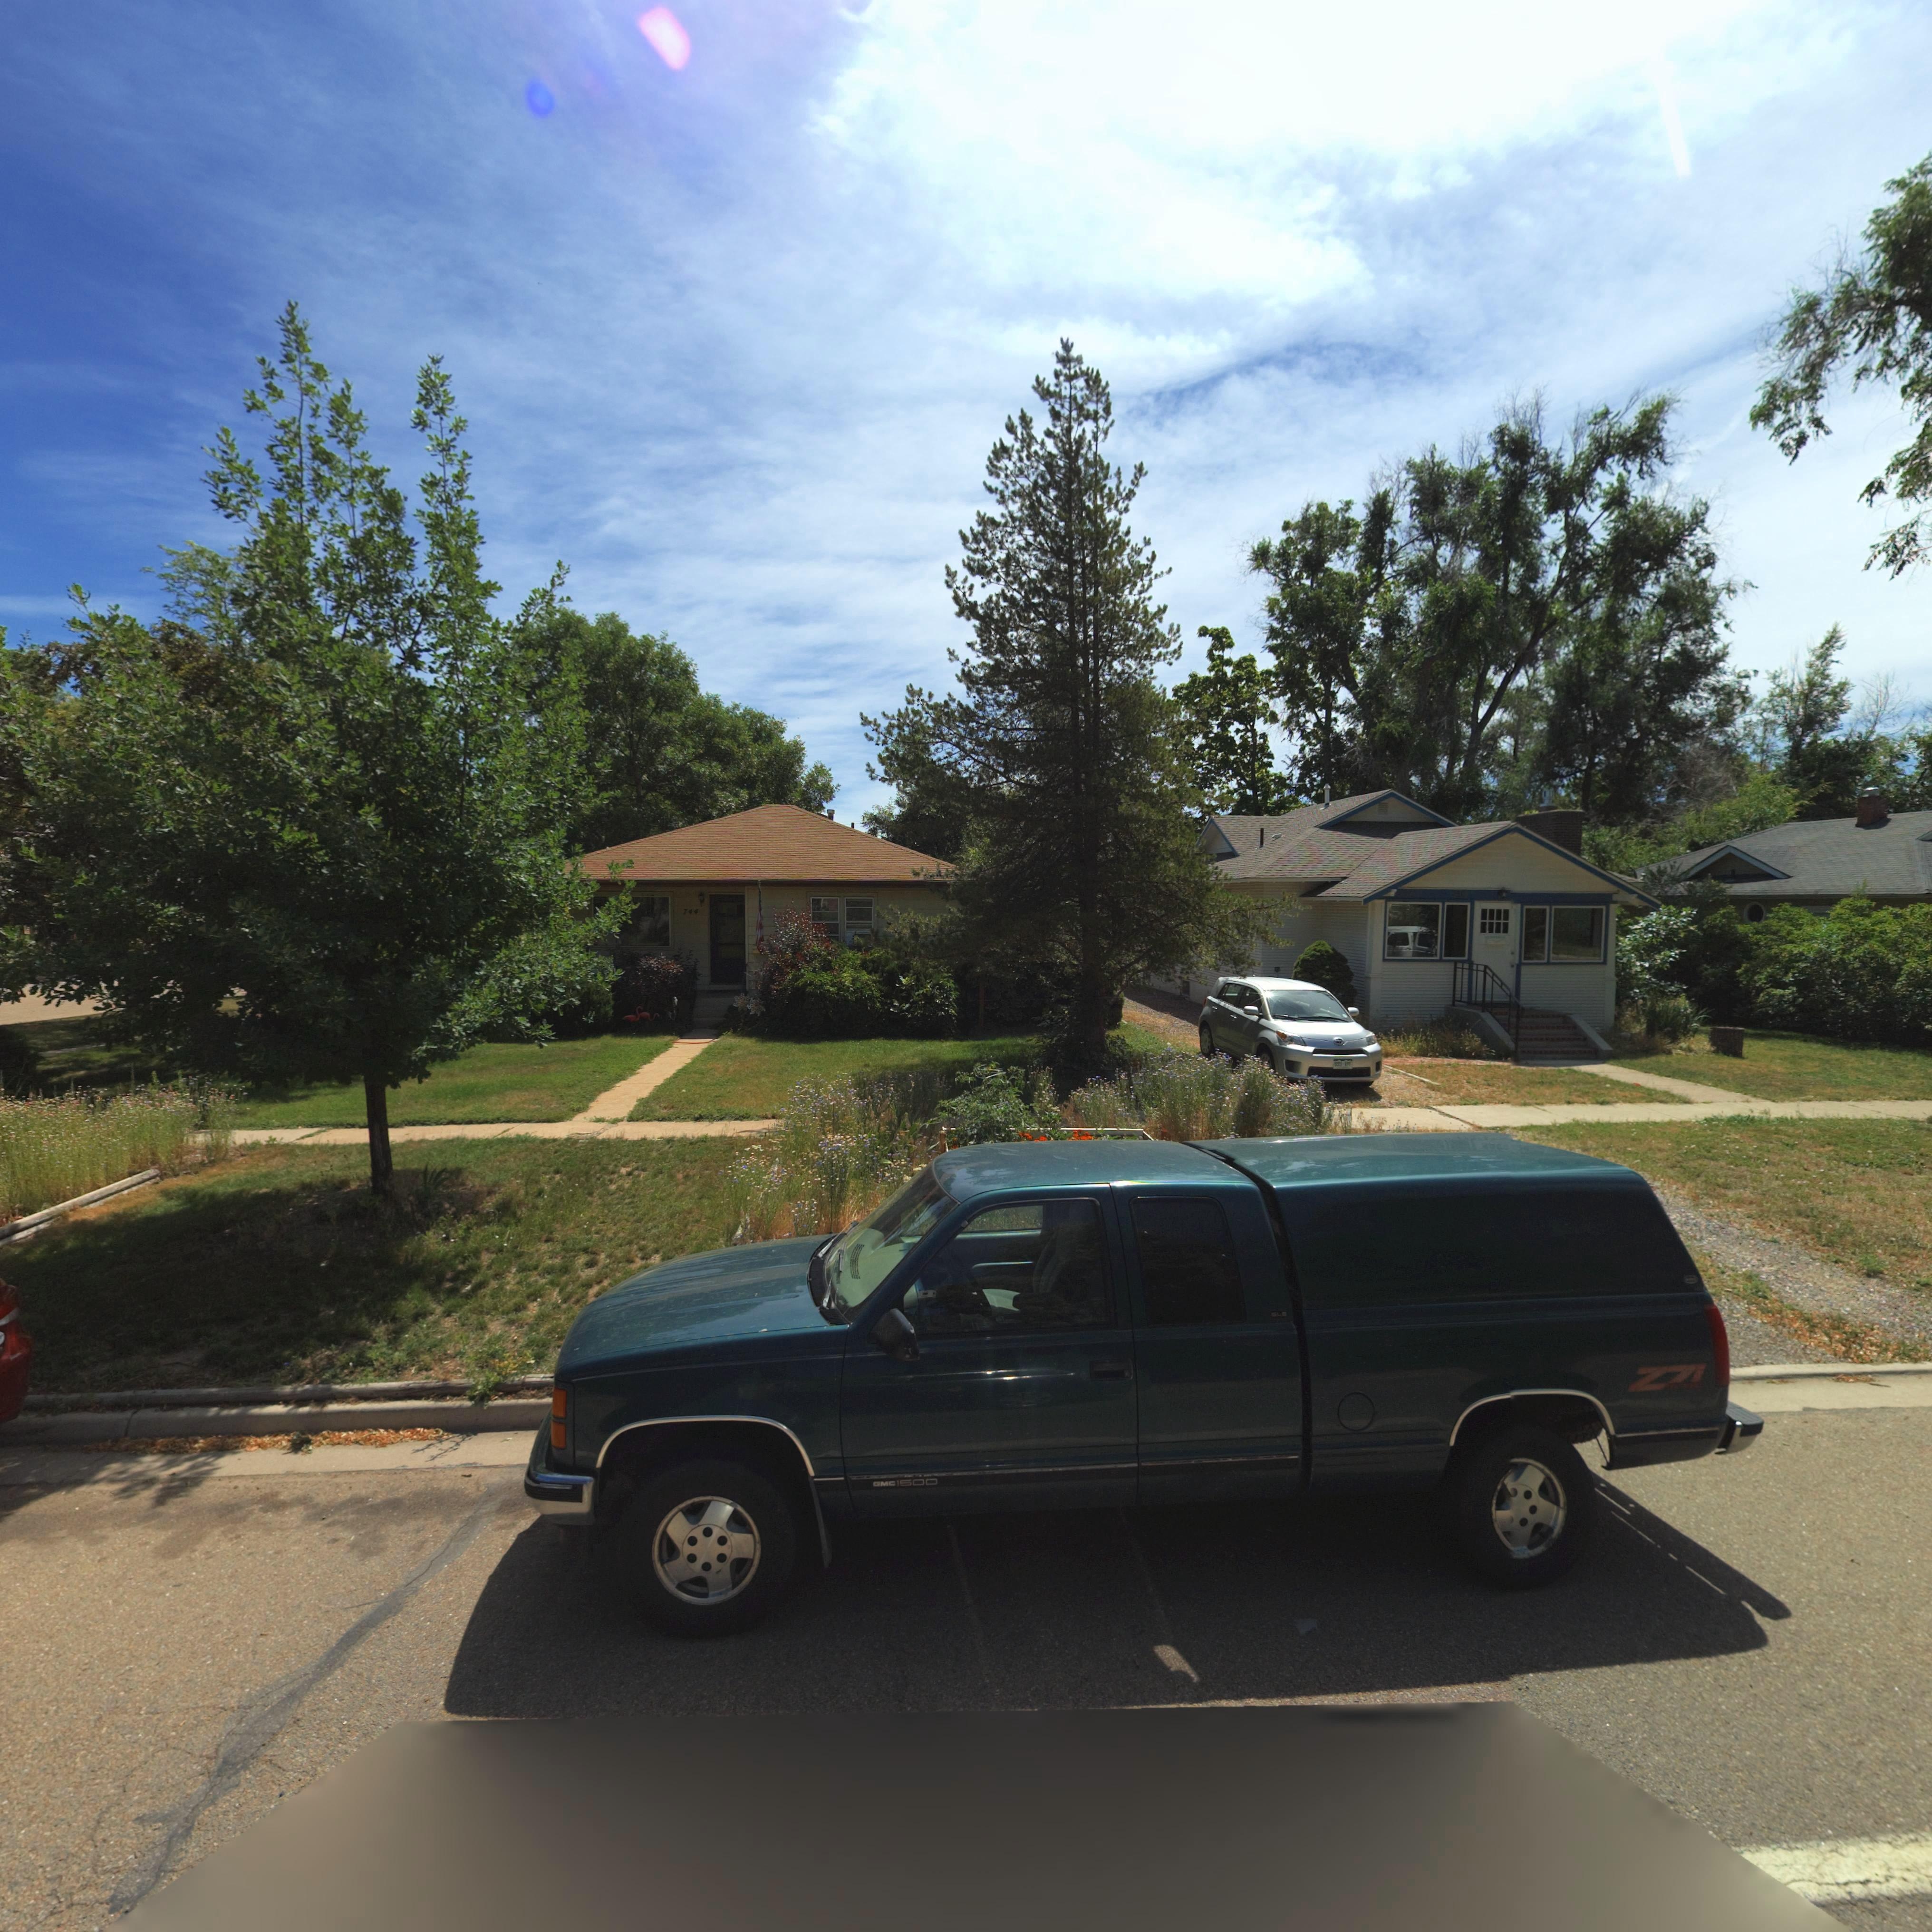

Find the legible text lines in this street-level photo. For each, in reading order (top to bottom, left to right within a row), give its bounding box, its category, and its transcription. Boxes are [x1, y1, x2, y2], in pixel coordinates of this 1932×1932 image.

[682, 908, 700, 915] StreetNumber: 744